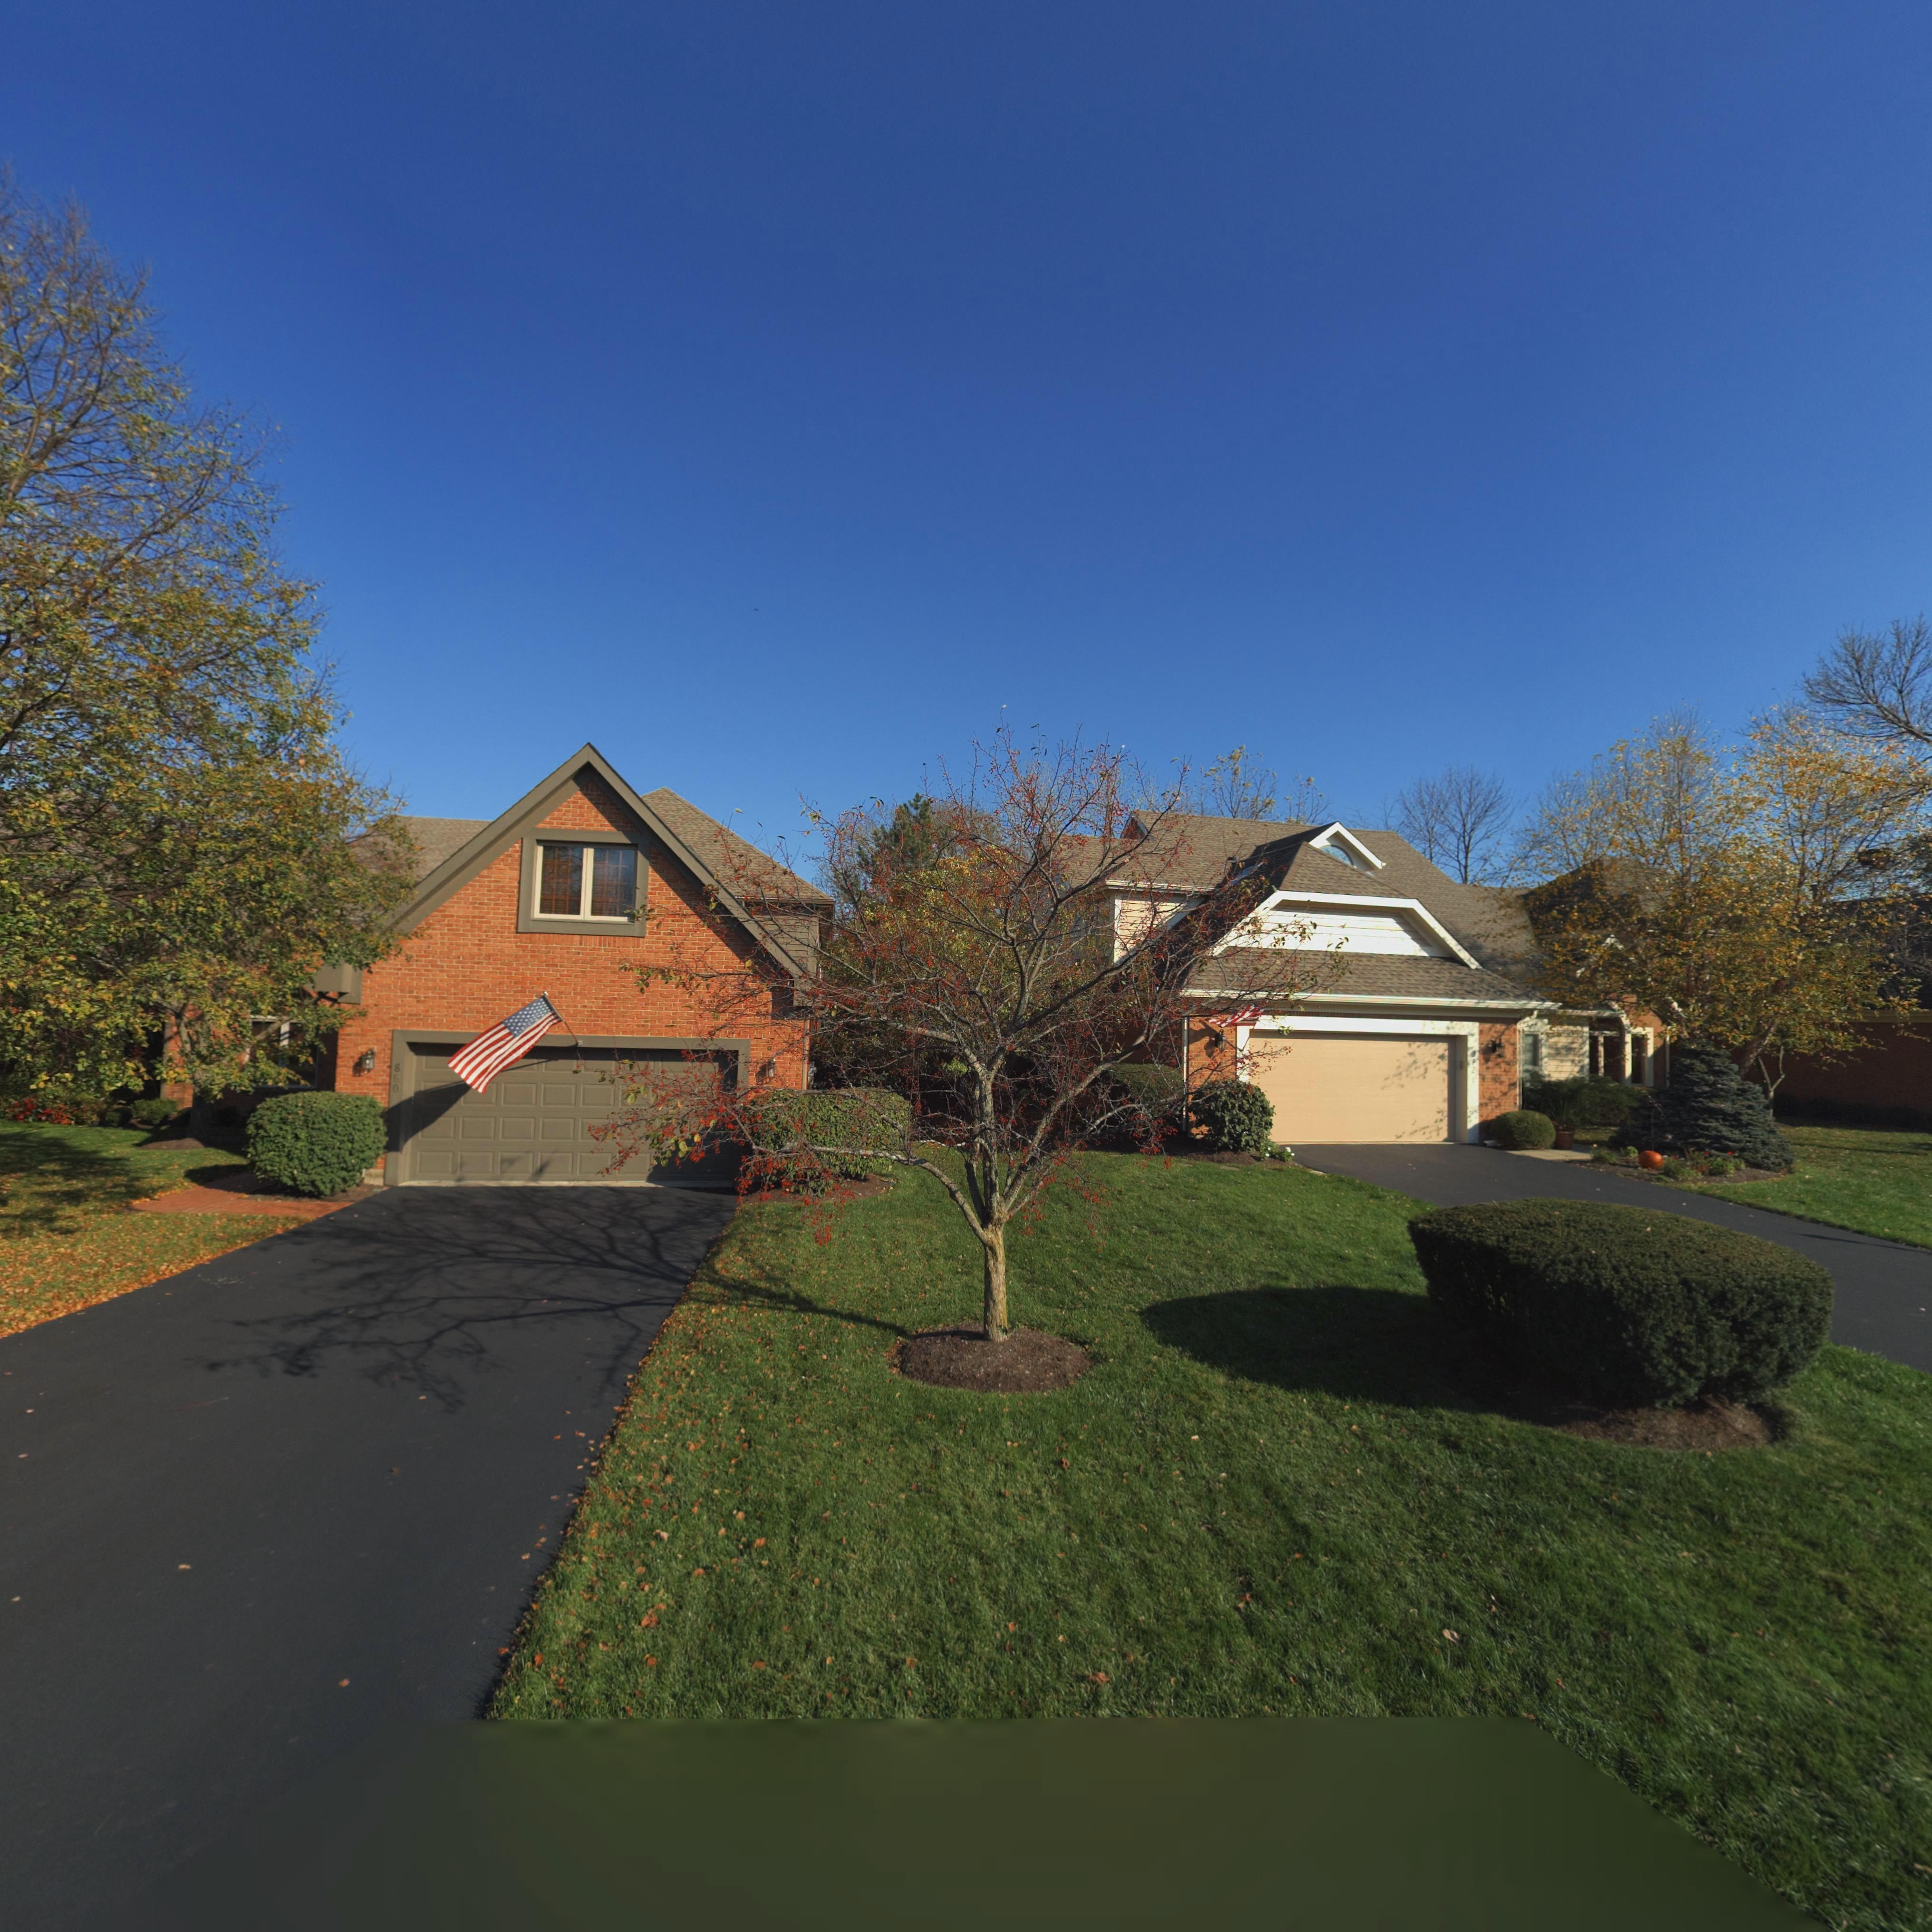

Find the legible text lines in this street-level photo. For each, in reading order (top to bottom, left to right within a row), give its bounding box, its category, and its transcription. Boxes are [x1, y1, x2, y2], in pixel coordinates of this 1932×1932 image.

[391, 1061, 402, 1095] StreetNumber: 860